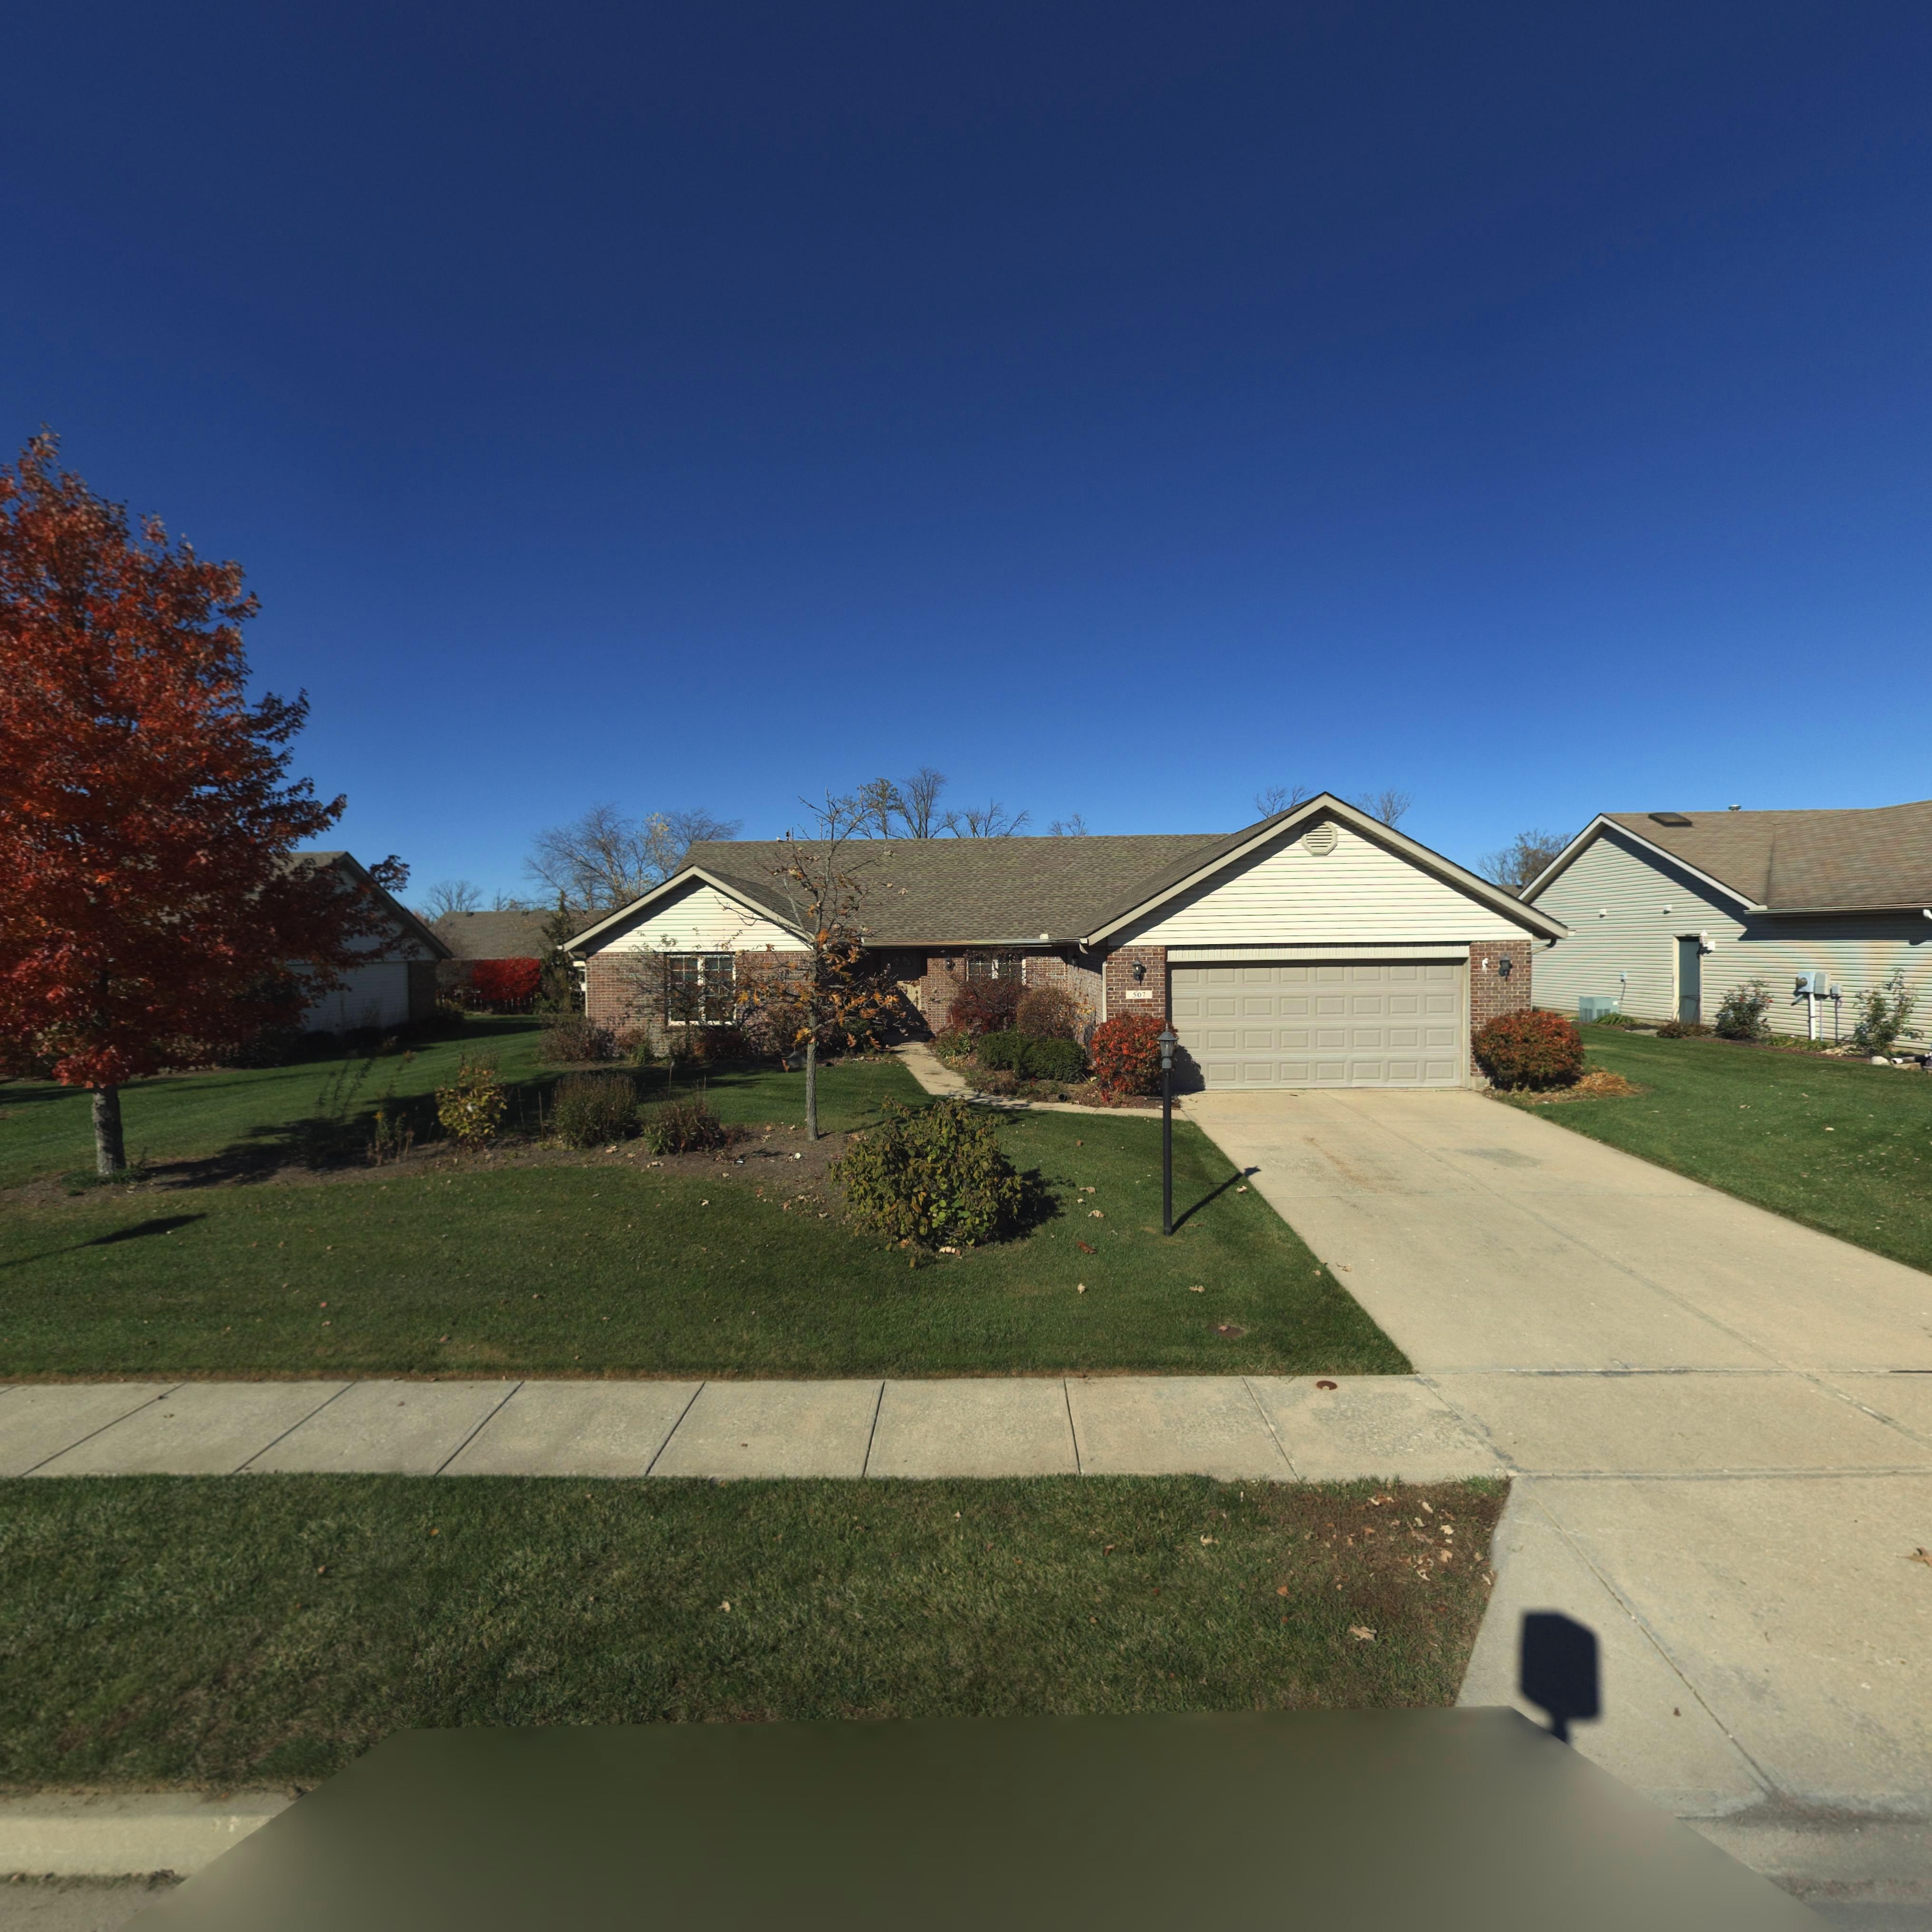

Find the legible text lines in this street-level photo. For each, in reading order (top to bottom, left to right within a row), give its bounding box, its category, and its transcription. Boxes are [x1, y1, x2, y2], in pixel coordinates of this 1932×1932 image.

[1132, 991, 1147, 999] StreetNumber: 507